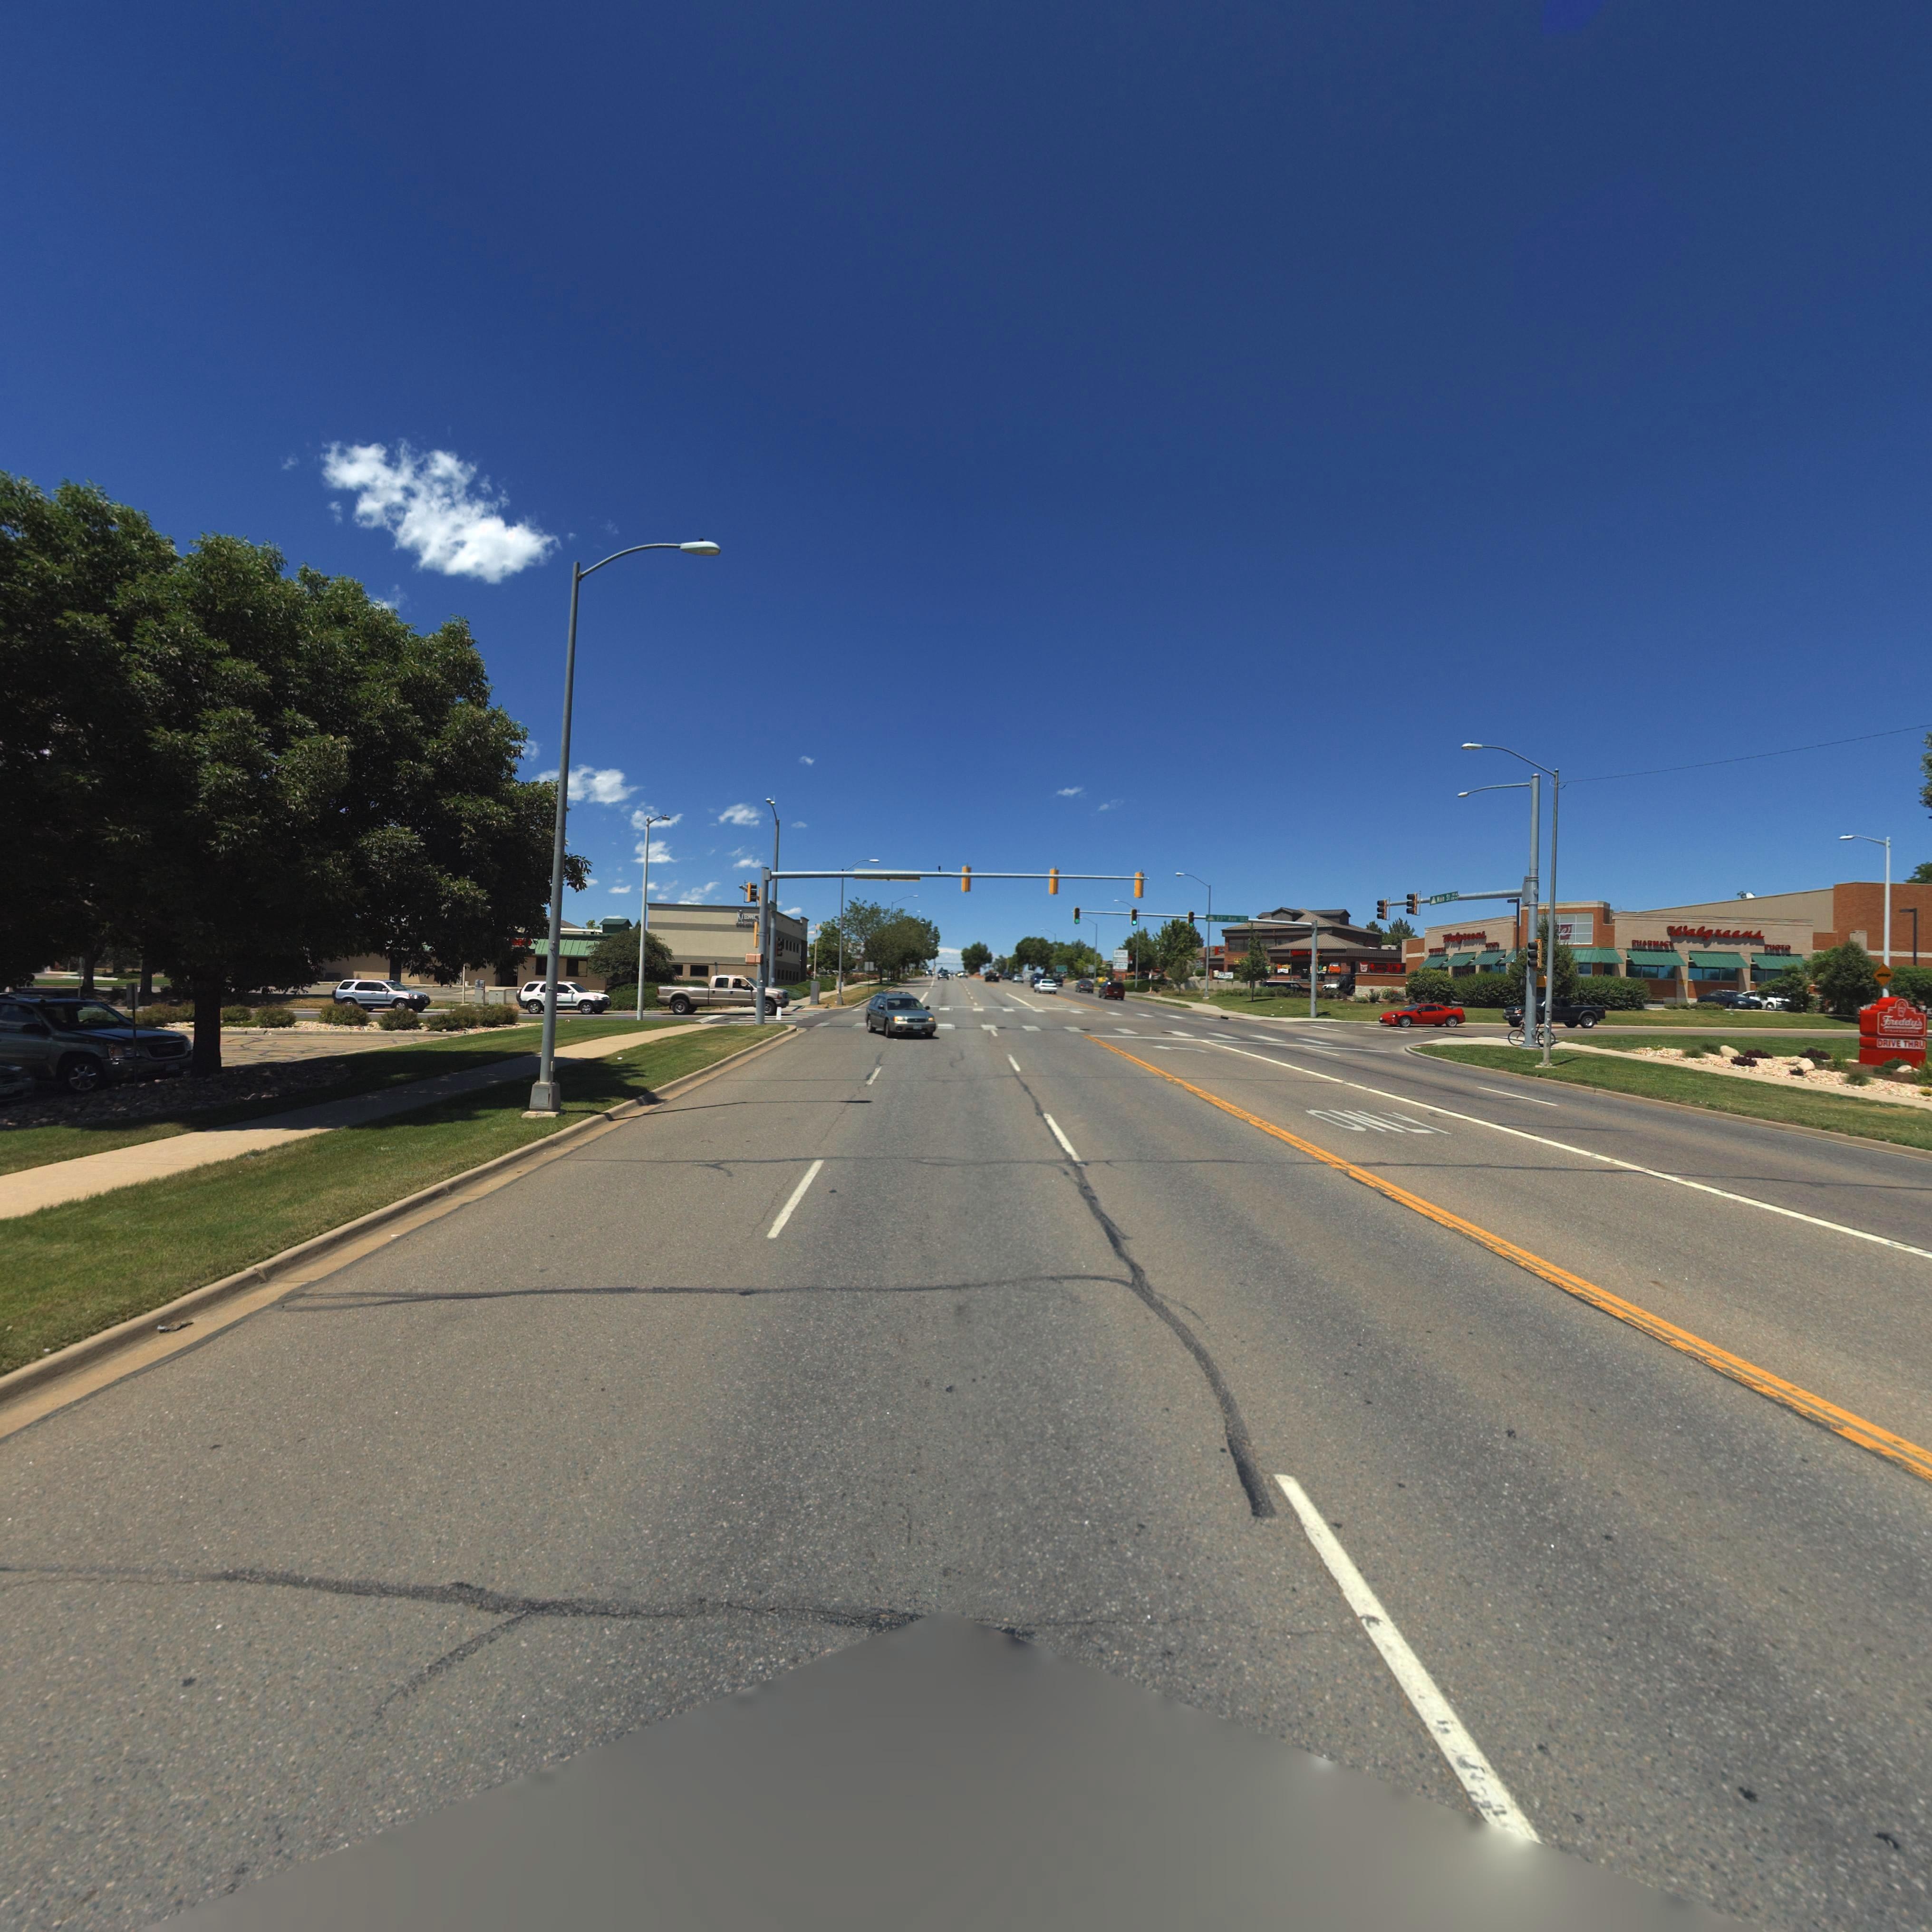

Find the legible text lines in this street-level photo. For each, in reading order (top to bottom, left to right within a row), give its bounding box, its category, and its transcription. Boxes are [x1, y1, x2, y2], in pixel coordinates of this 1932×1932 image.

[1437, 894, 1450, 903] StreetName: *ai* S*
[741, 914, 758, 920] BusinessName: IBMC
[1216, 916, 1236, 921] StreetName: 23** A*e
[1442, 930, 1487, 944] BusinessName: ***g*een*
[1668, 925, 1765, 941] BusinessName: Walgreens
[512, 938, 531, 946] BusinessName: *E**
[1880, 1015, 1922, 1029] BusinessName: freddy*s